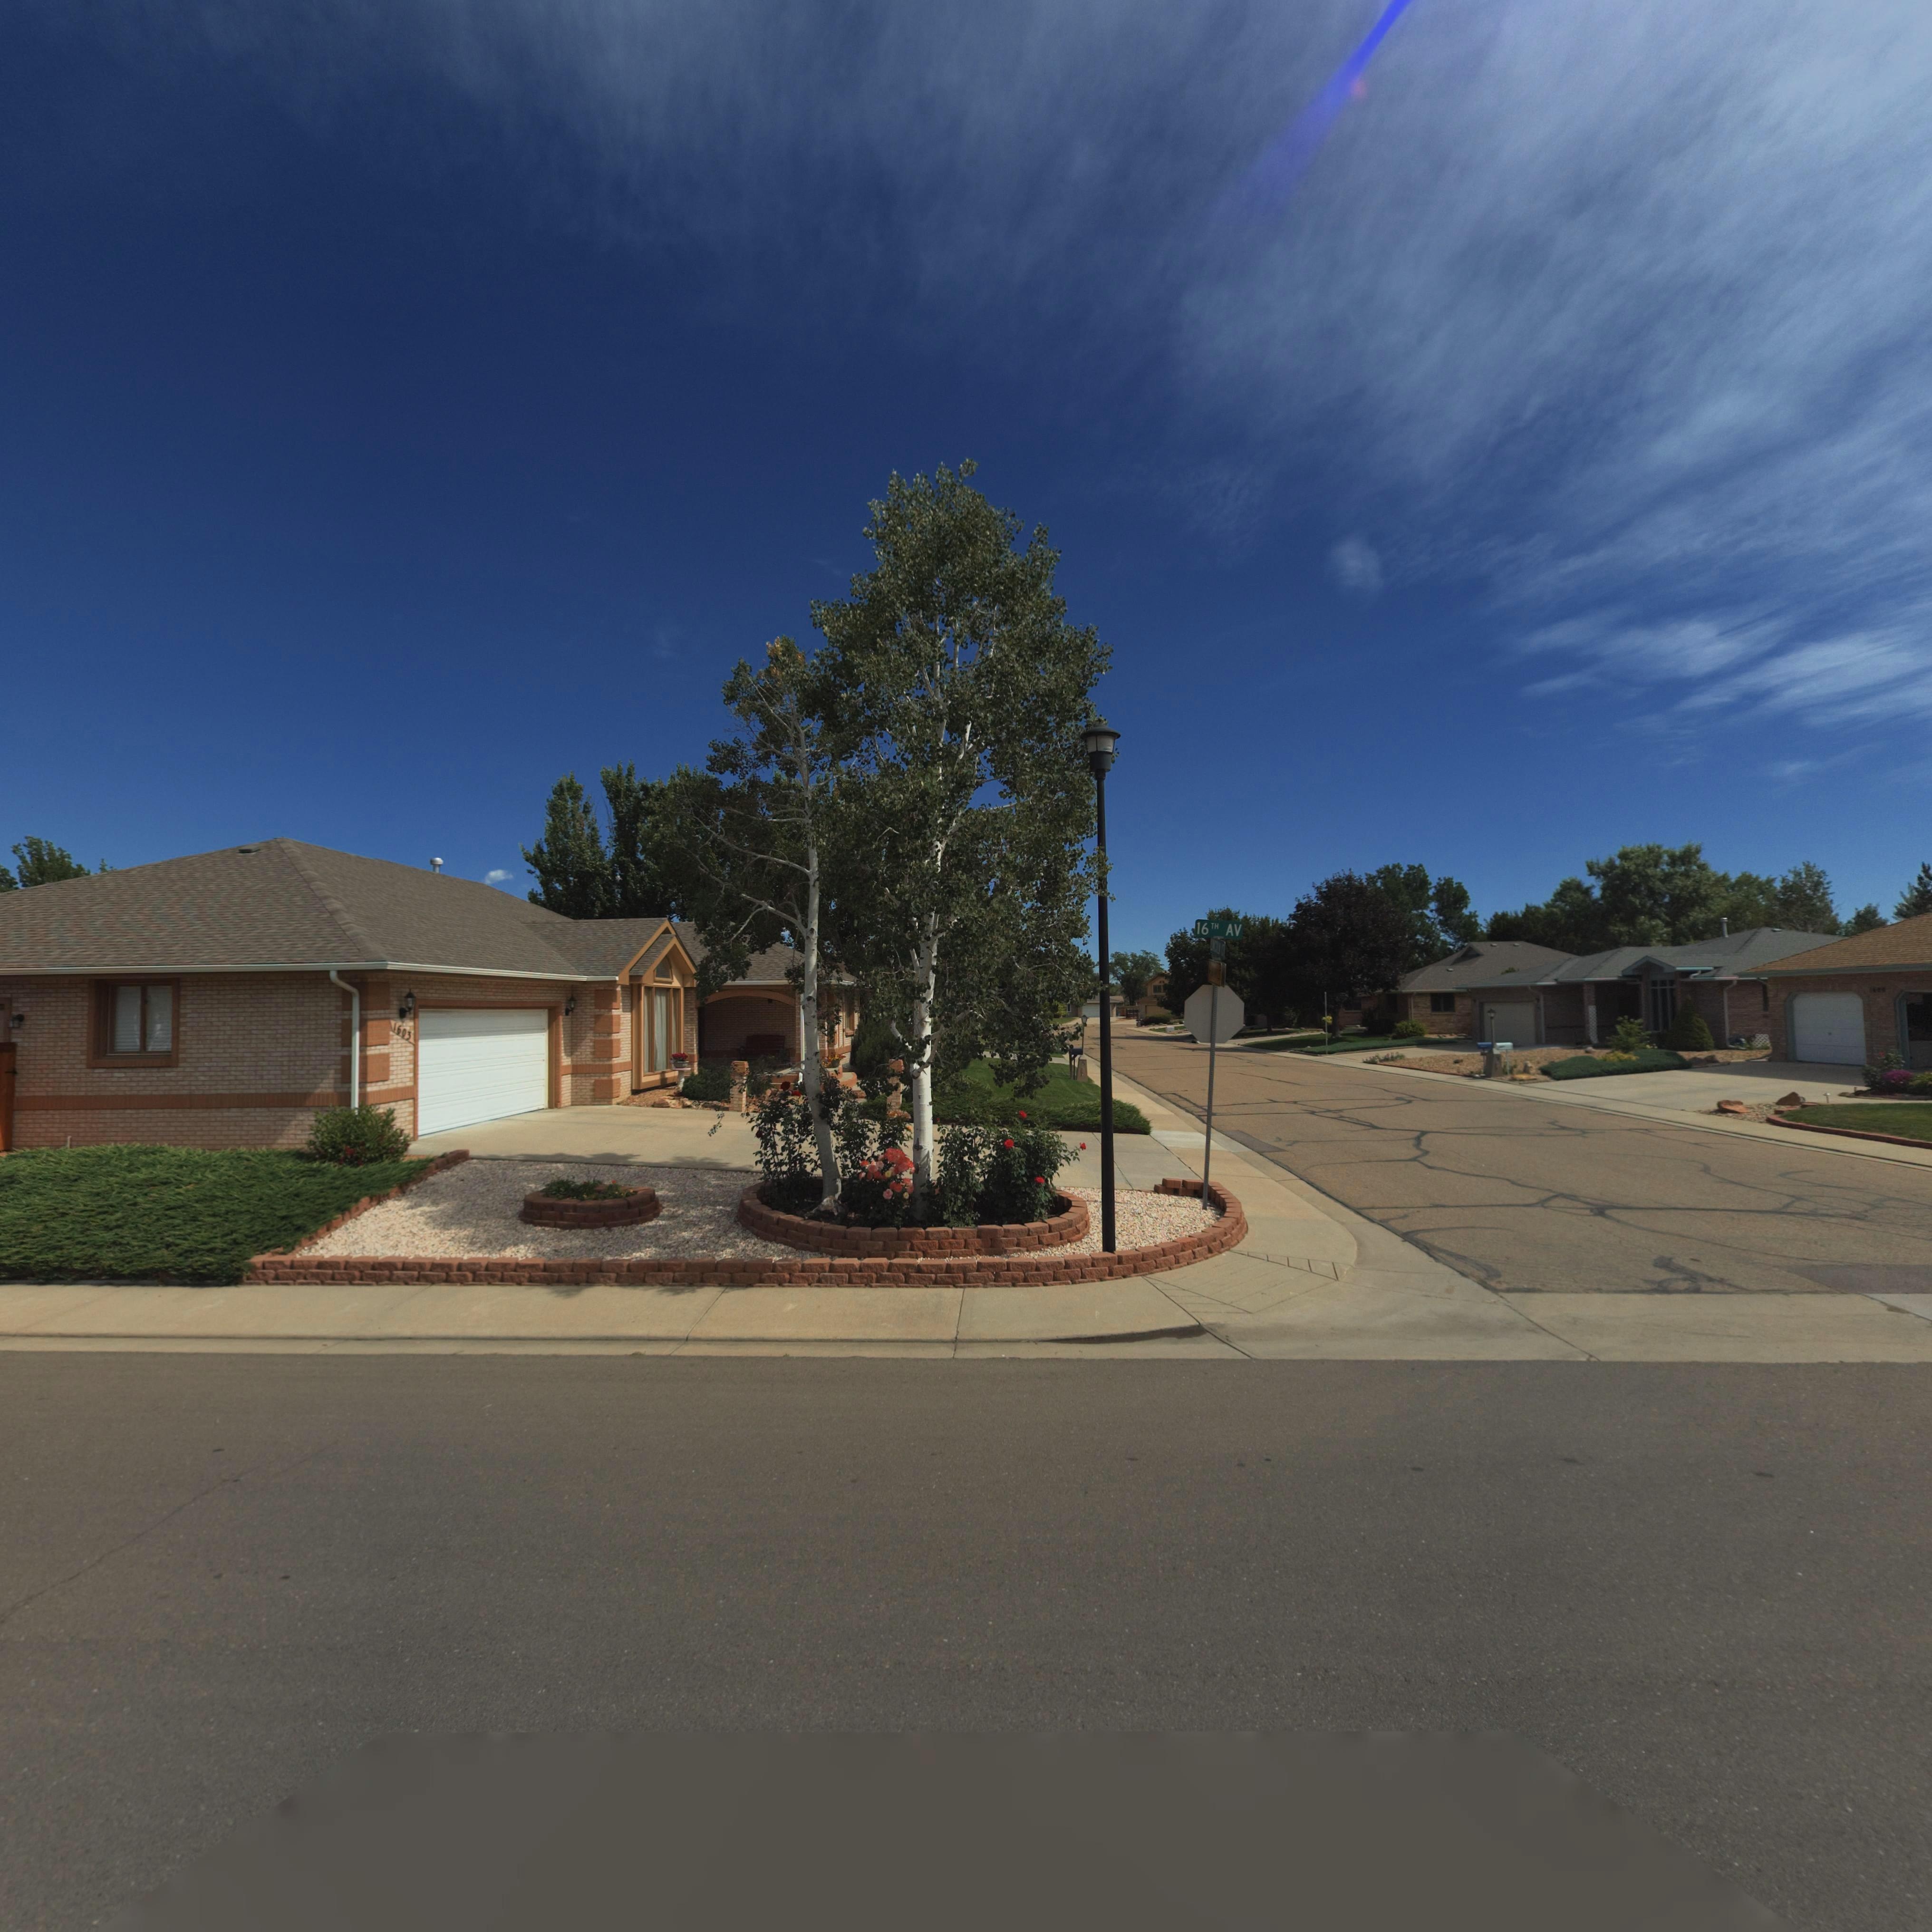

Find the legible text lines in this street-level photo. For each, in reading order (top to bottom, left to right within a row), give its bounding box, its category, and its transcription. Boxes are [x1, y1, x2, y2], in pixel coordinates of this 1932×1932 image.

[1197, 921, 1243, 937] StreetName: 16TH AV
[1209, 937, 1221, 956] StreetName: L*NCOLN
[1868, 986, 1887, 994] StreetNumber: 1***
[393, 1021, 412, 1041] StreetNumber: 1603